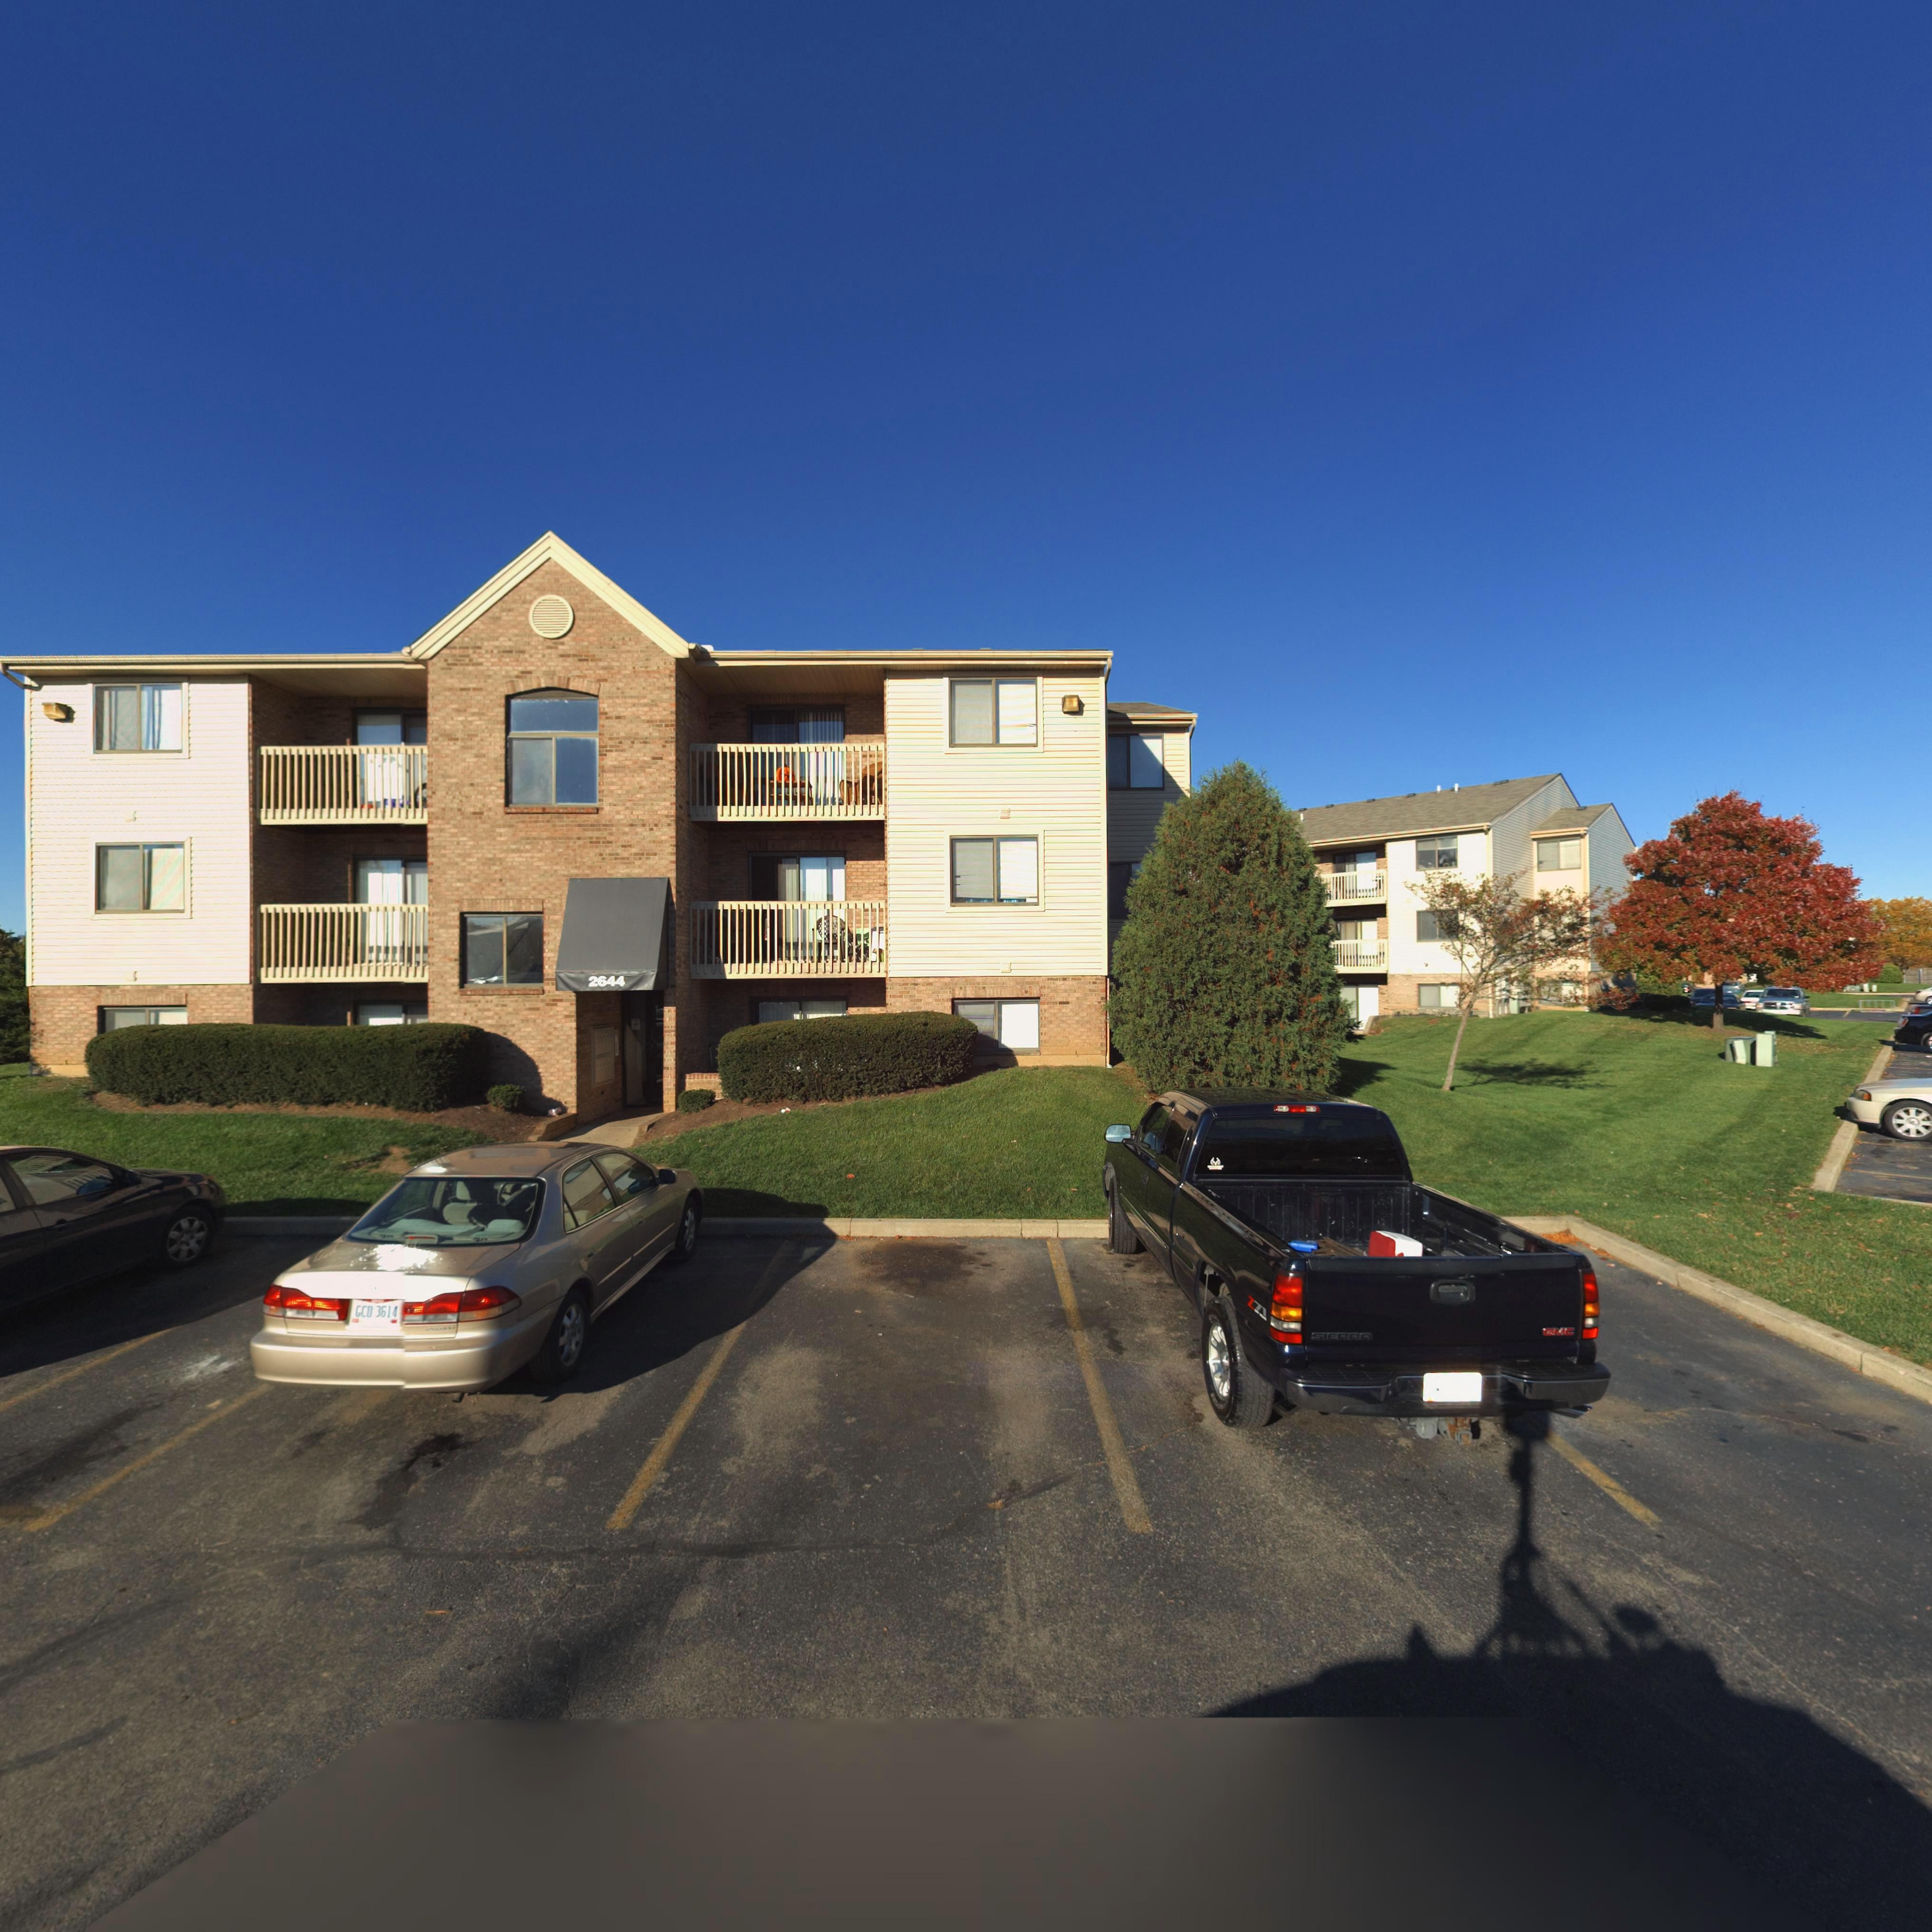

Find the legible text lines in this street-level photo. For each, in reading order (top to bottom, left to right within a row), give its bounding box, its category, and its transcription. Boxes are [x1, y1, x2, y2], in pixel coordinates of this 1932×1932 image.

[588, 975, 626, 988] StreetNumber: 2644